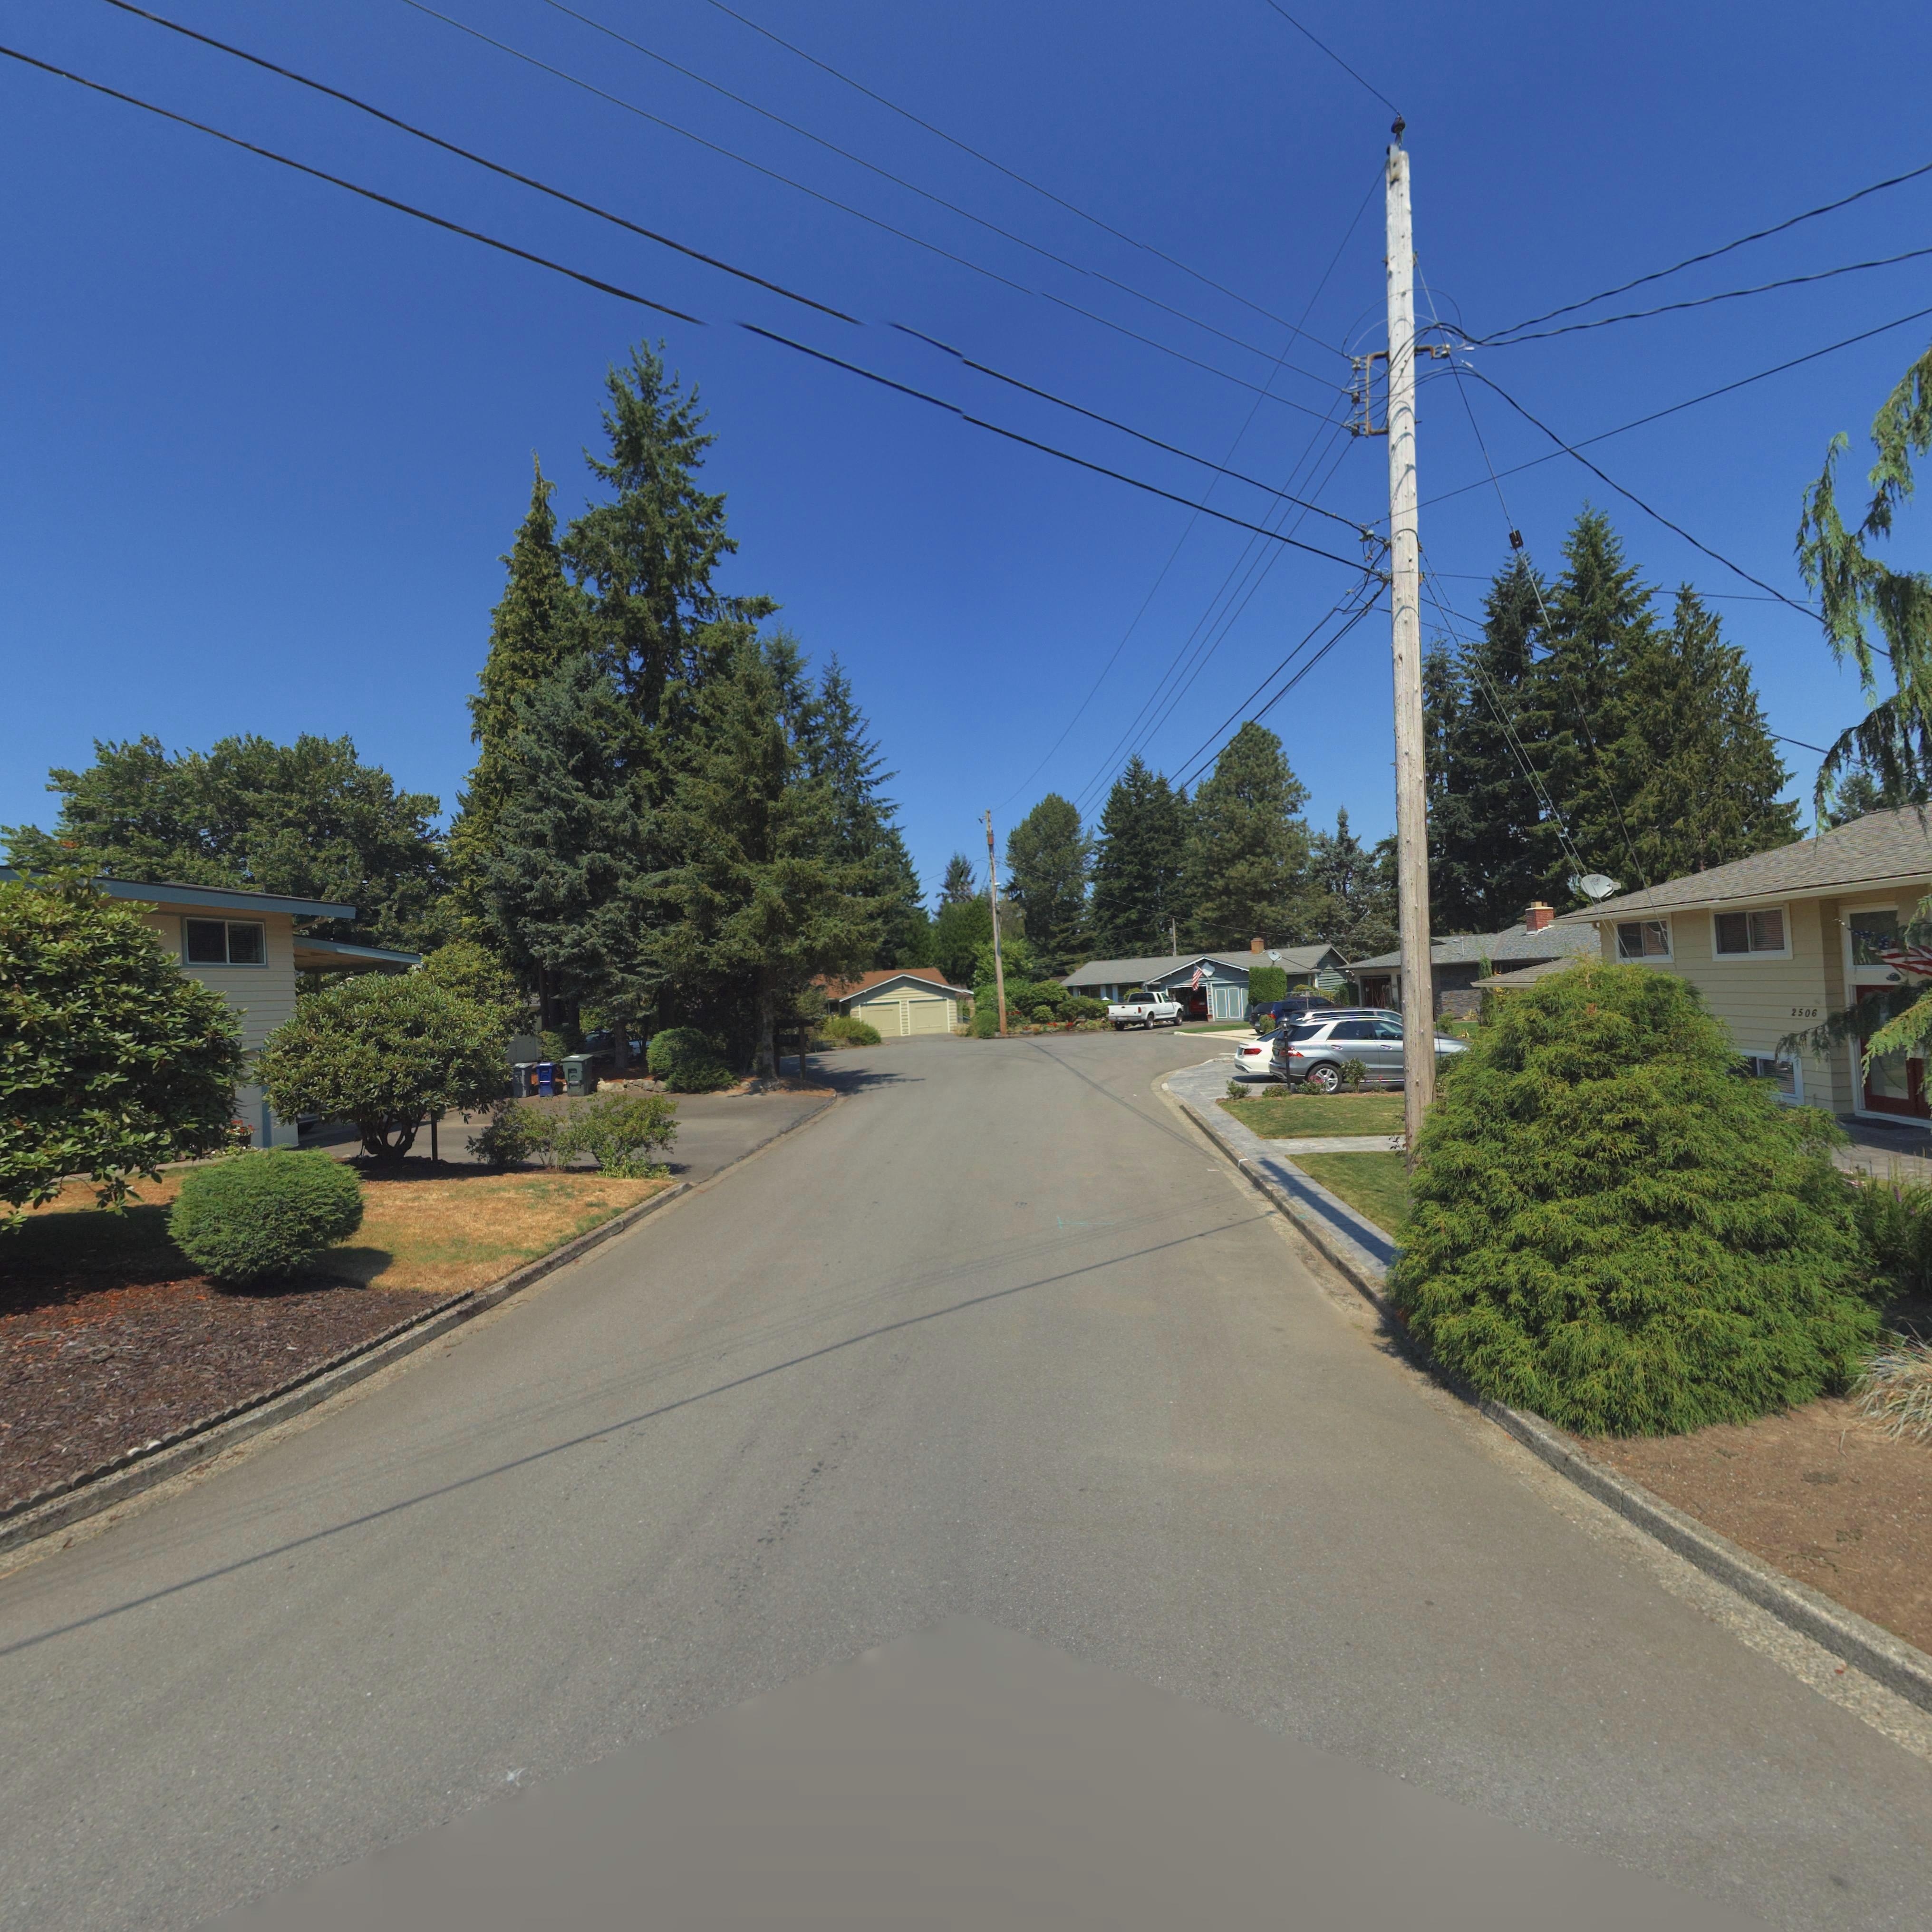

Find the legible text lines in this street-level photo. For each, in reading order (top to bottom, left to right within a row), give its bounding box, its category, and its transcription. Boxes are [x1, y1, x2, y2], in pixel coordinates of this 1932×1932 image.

[1791, 1008, 1817, 1017] StreetNumber: 2506